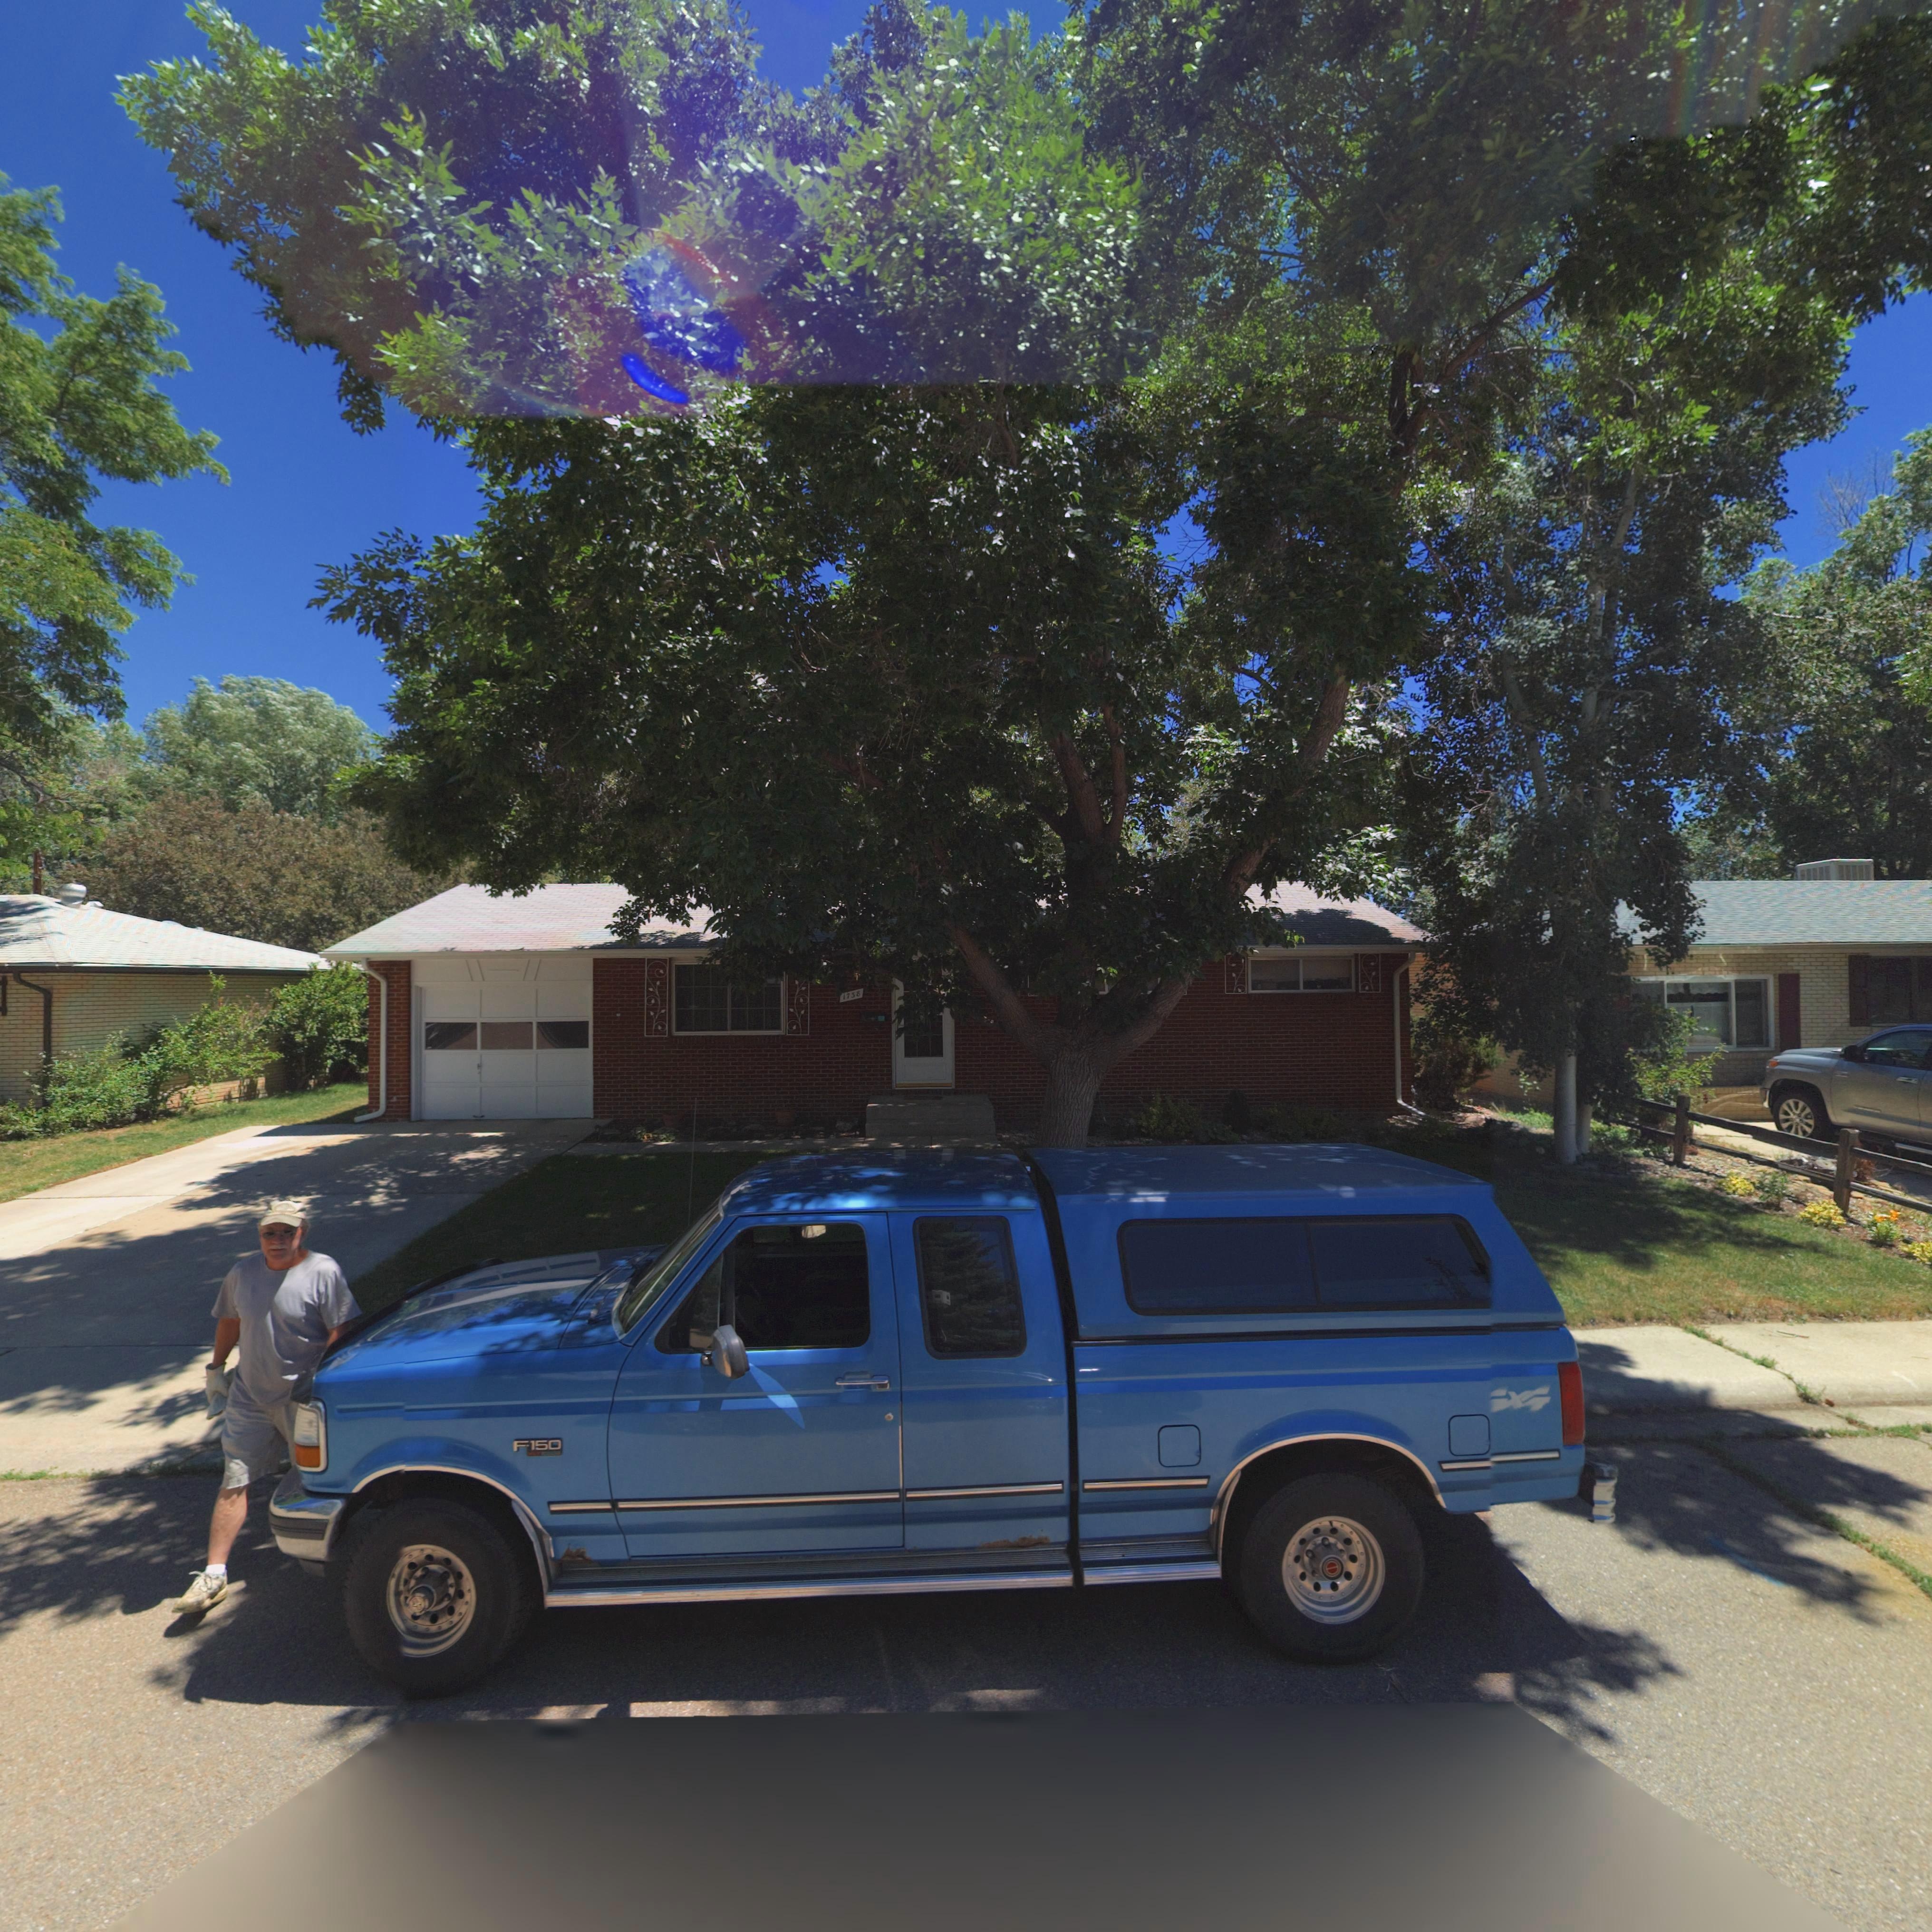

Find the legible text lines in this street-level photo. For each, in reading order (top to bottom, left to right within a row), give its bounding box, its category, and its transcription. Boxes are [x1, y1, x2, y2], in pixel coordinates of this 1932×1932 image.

[843, 990, 860, 1000] StreetNumber: 1738